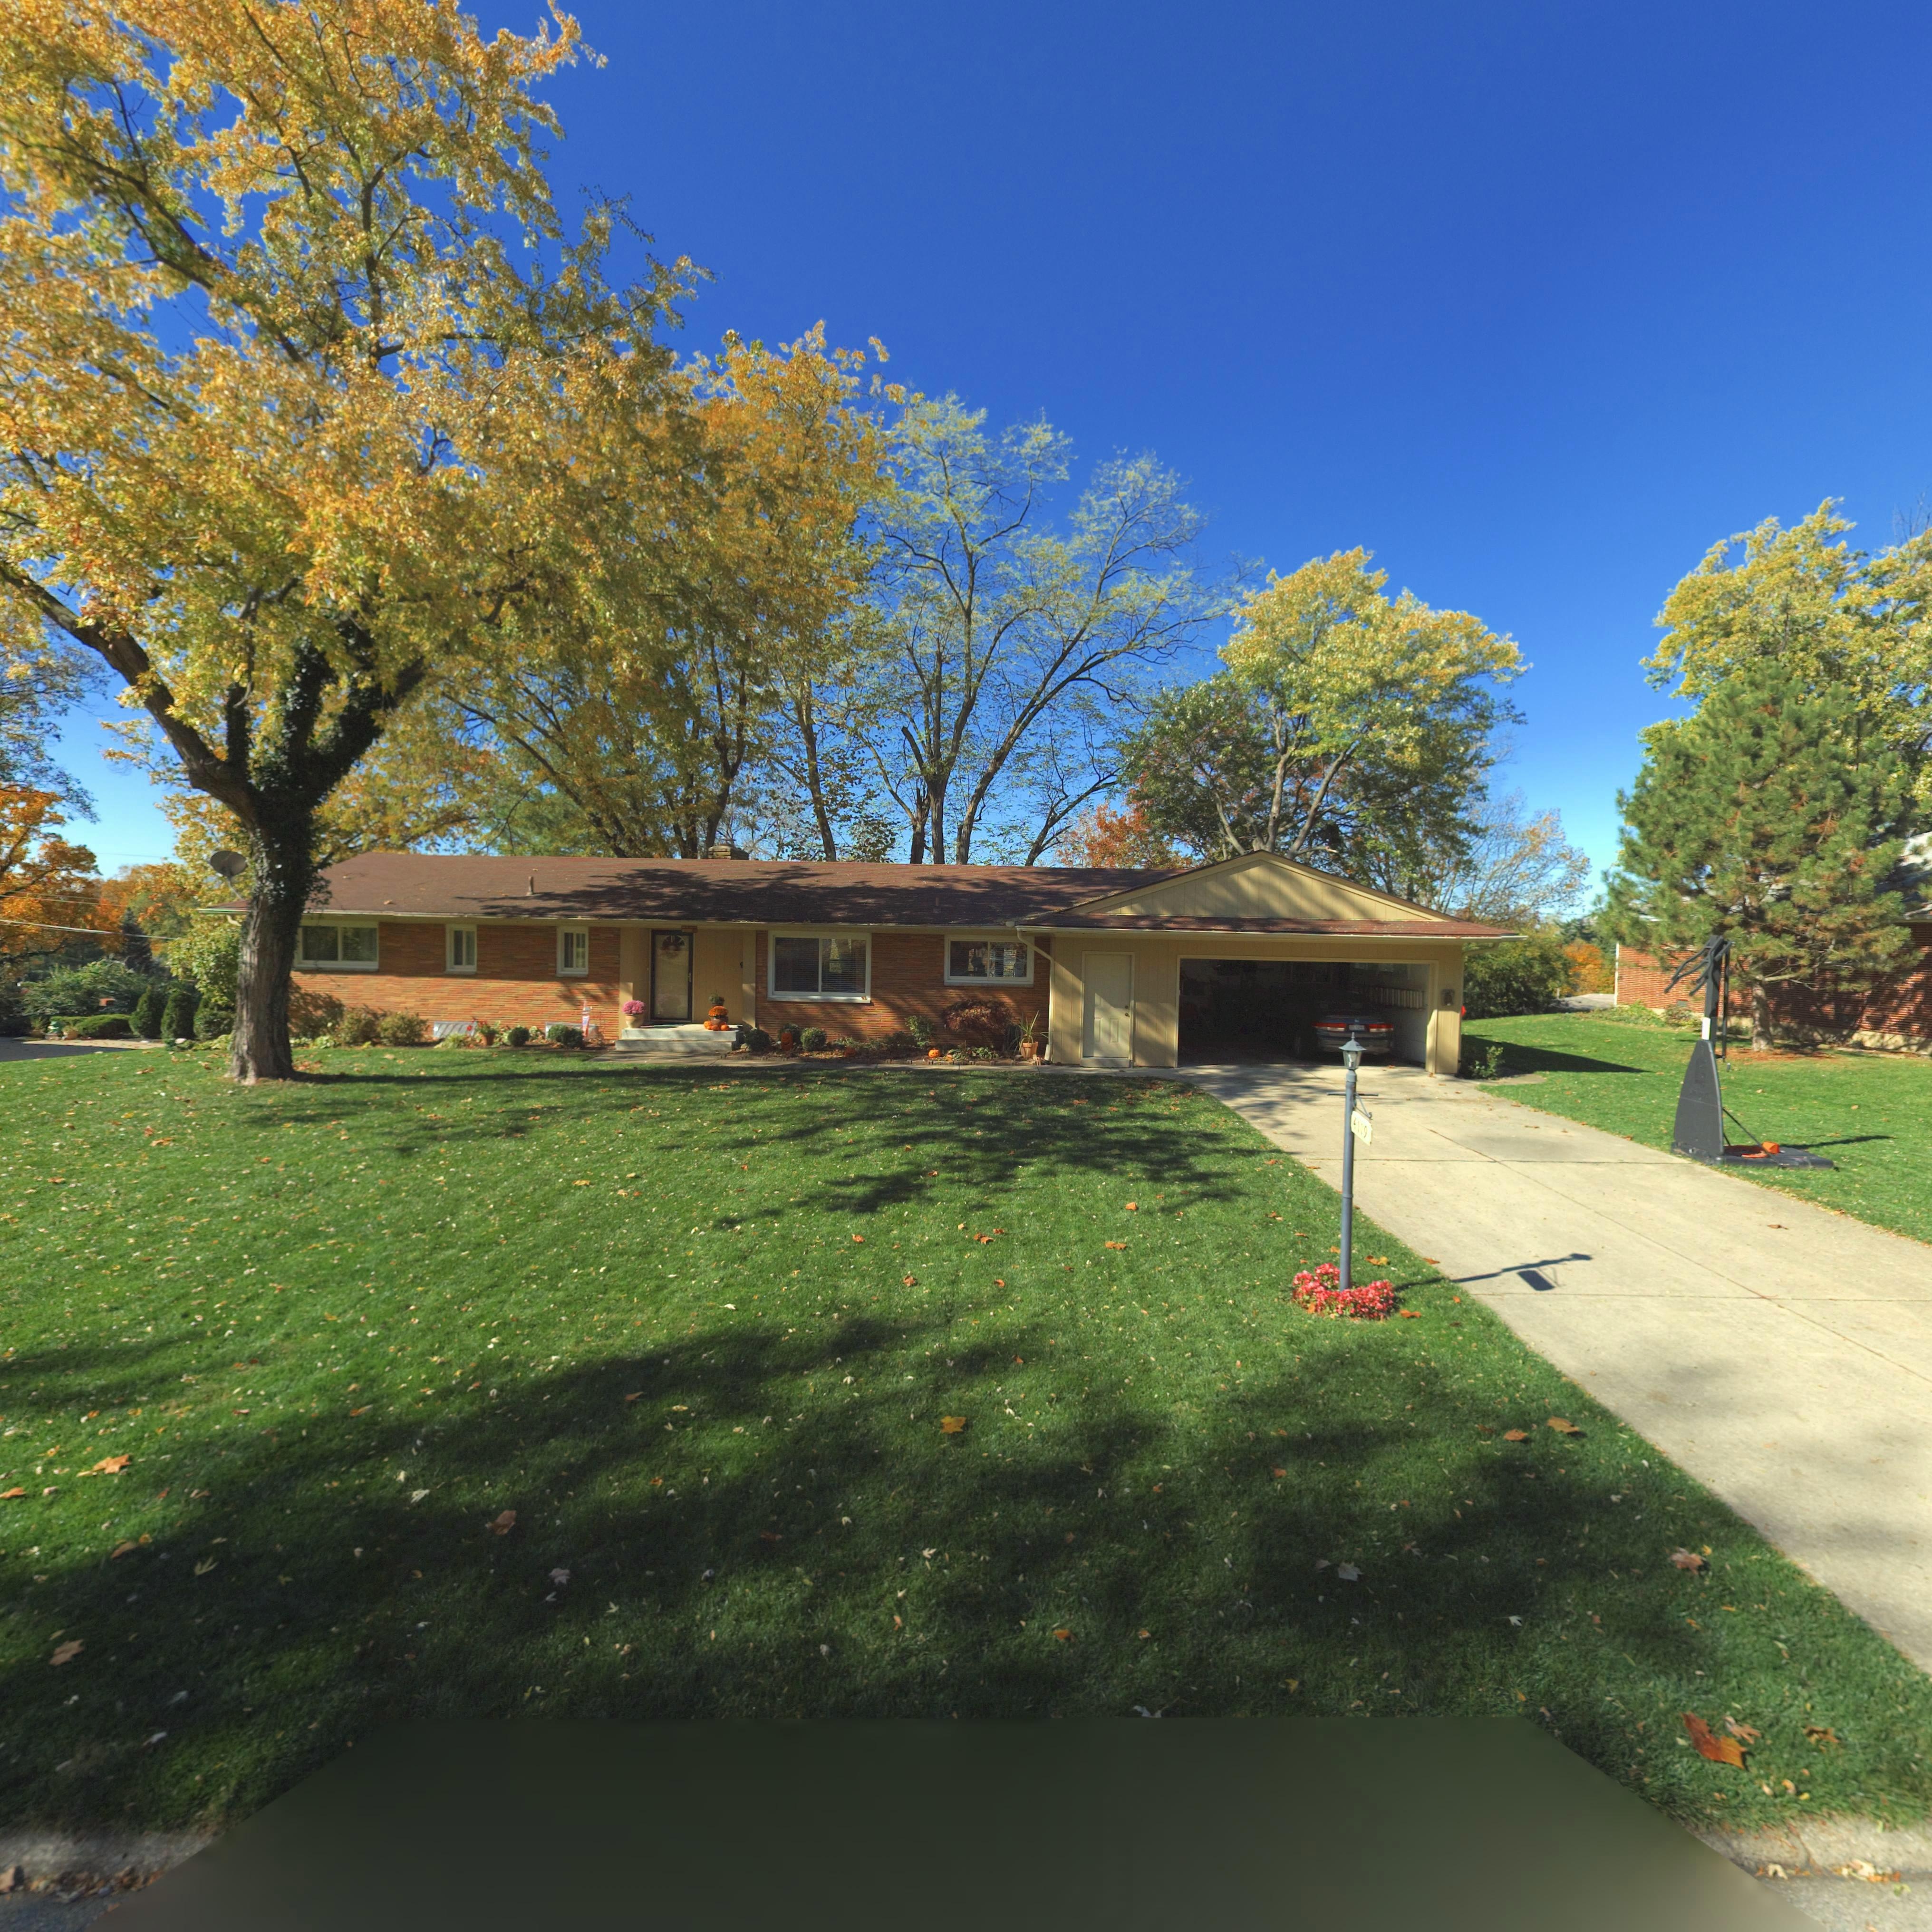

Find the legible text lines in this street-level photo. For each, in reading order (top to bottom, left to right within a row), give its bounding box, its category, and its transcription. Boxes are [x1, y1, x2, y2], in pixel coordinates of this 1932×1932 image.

[1352, 1116, 1368, 1139] StreetNumber: 4119